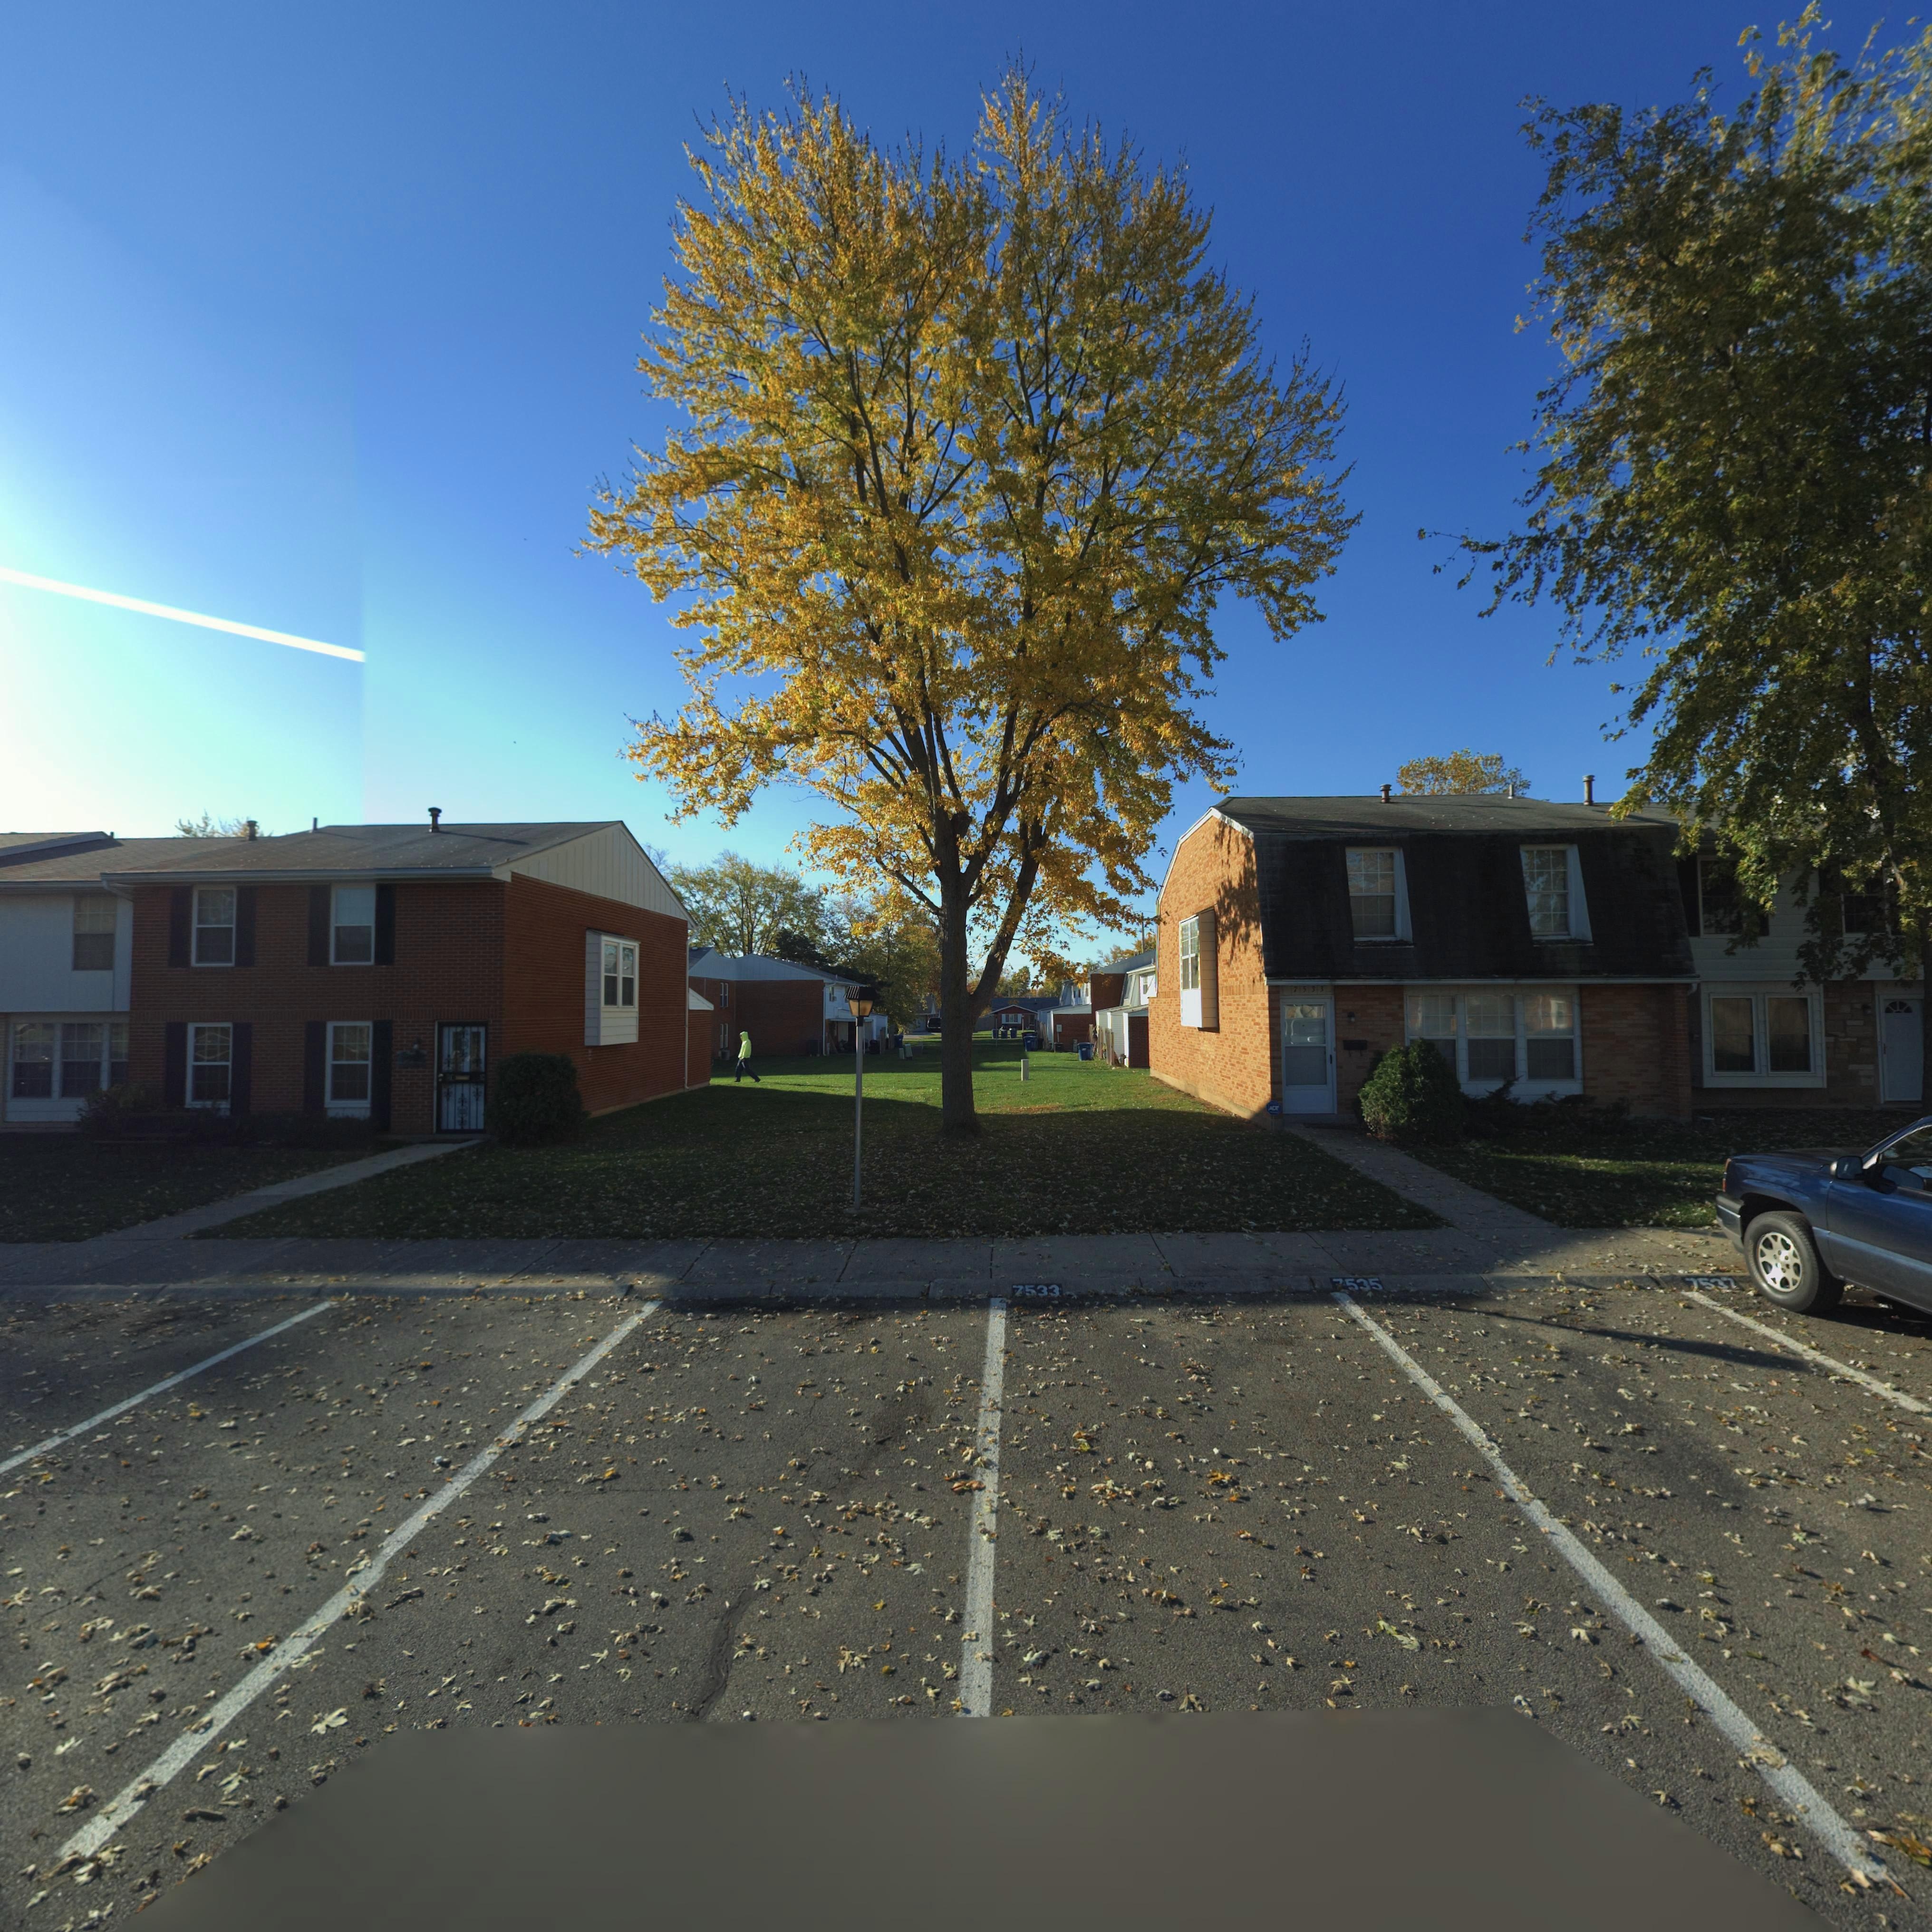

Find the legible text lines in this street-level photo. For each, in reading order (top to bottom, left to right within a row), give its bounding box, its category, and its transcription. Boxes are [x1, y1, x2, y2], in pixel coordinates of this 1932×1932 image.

[1293, 985, 1324, 993] StreetNumber: 7533
[1012, 1284, 1061, 1298] StreetNumber: 7533
[1332, 1277, 1384, 1291] StreetNumber: *535
[1683, 1276, 1739, 1291] StreetNumber: 7537